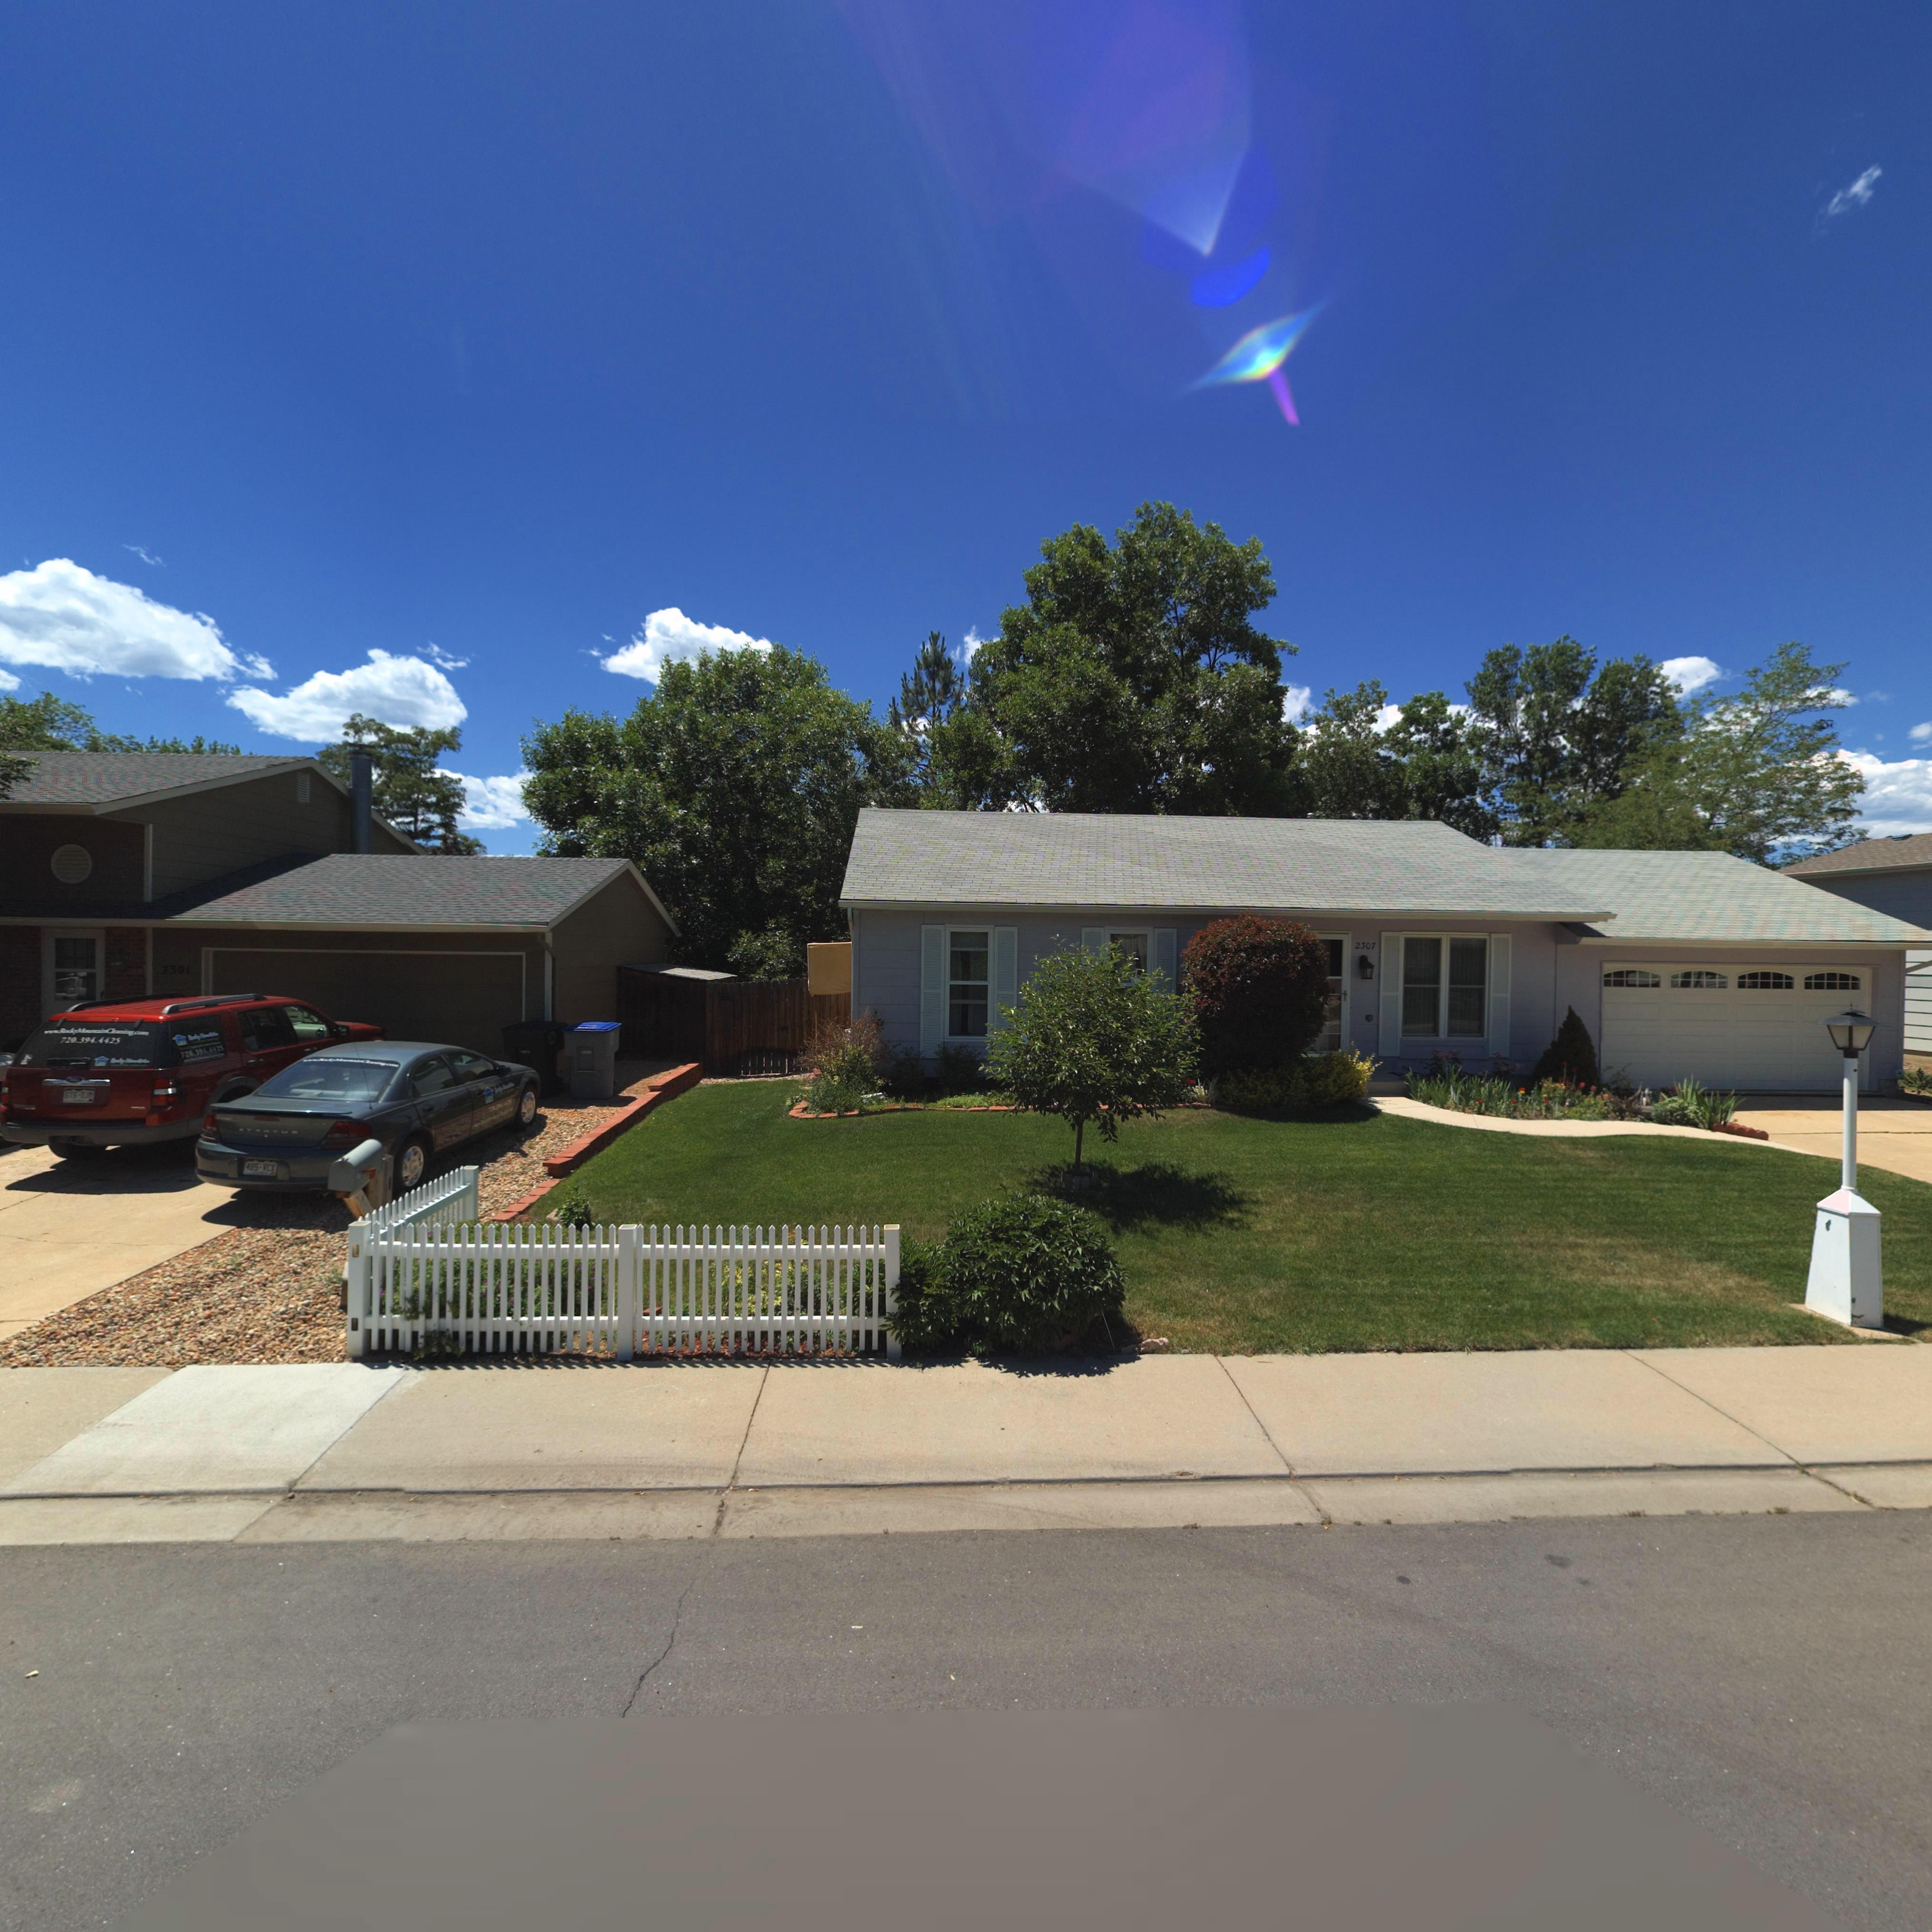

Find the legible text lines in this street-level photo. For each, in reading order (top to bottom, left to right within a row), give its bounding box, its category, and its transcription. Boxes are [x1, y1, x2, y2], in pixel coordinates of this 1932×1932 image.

[1354, 941, 1376, 949] StreetNumber: 2307
[161, 963, 191, 975] StreetNumber: 2301